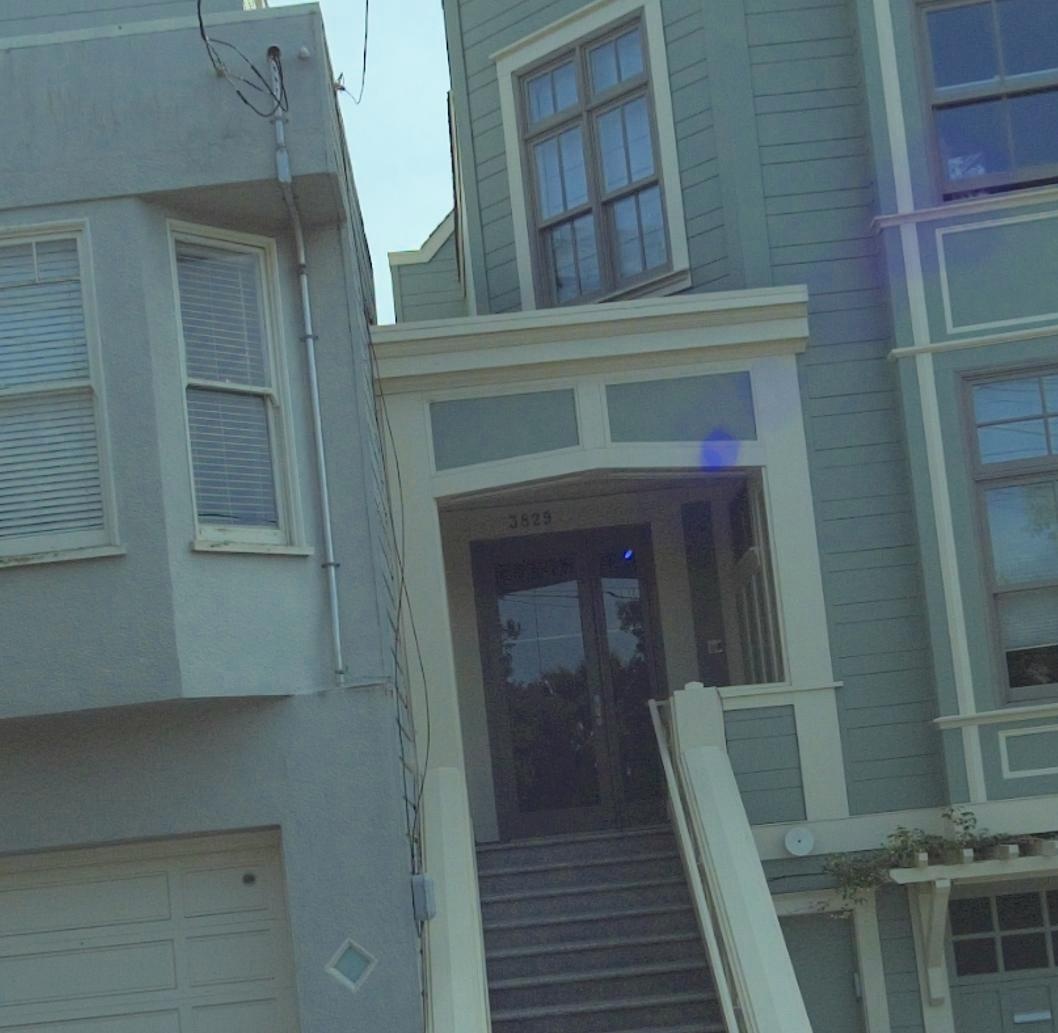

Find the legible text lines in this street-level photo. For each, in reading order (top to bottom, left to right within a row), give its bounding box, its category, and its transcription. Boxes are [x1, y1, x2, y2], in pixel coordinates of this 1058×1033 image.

[507, 511, 554, 530] StreetNumber: 3829